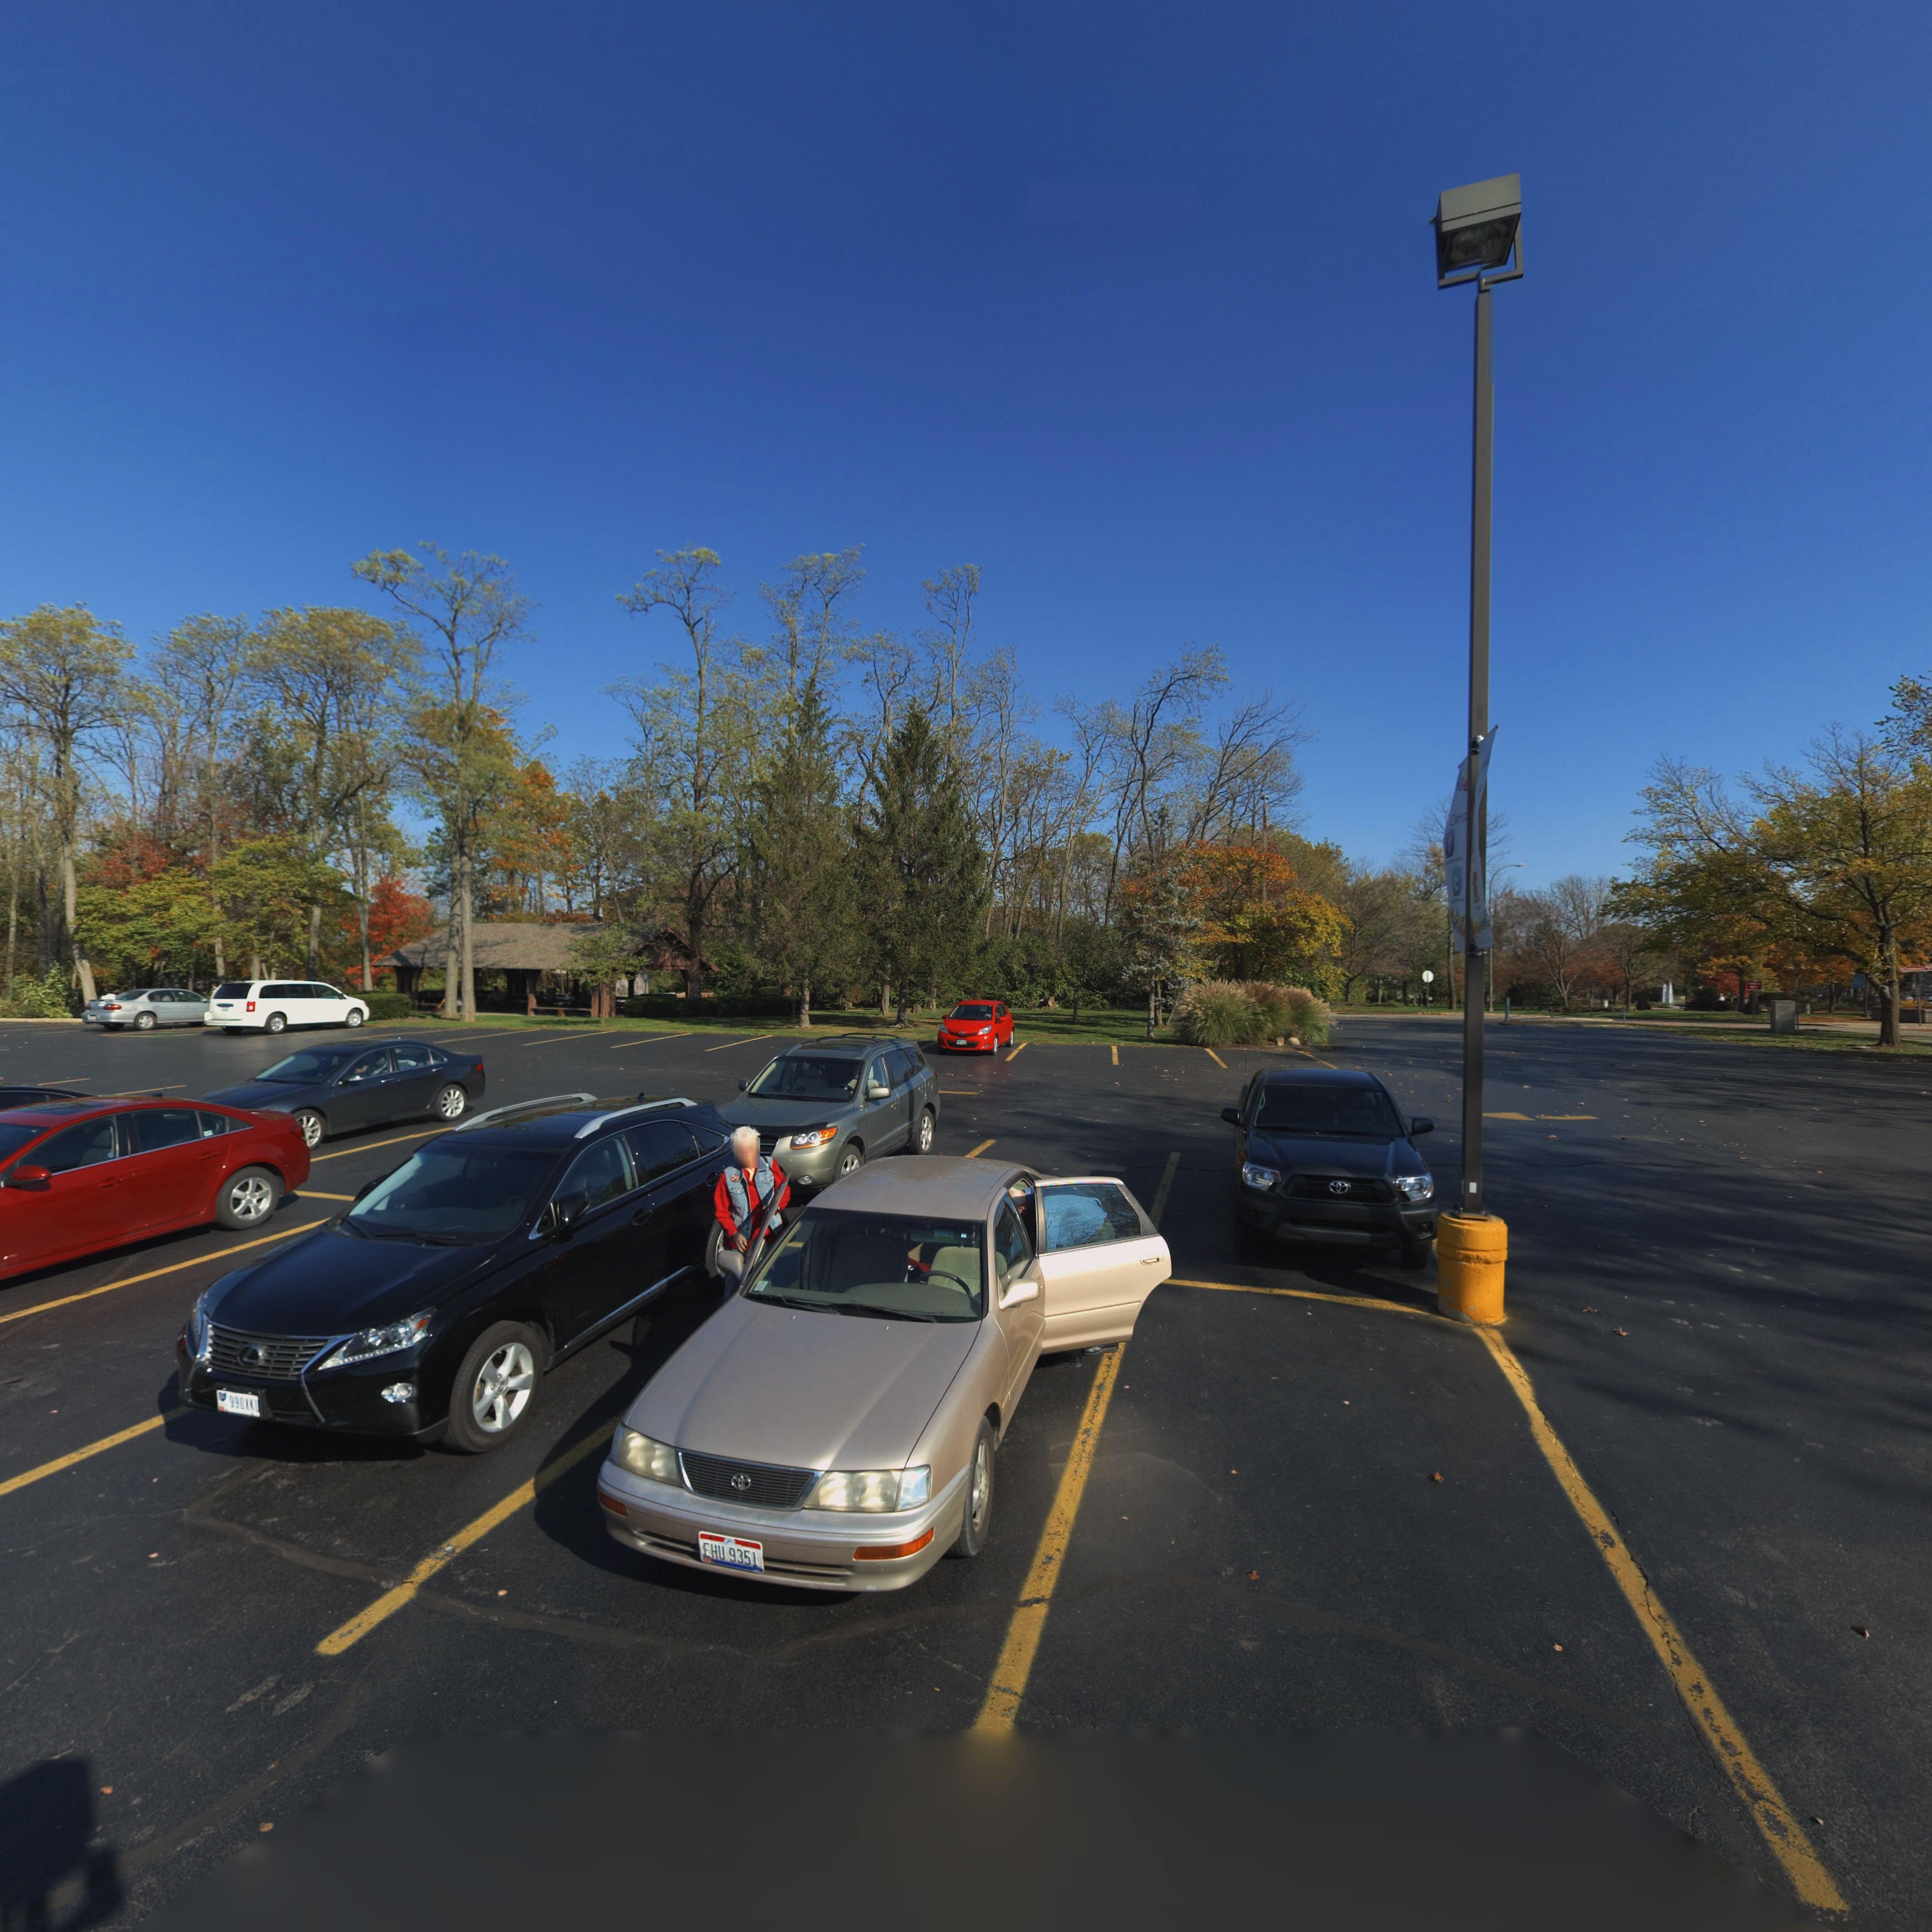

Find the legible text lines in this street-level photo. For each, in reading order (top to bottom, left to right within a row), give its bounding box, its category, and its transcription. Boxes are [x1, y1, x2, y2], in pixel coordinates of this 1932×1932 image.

[228, 1393, 256, 1414] None: 990XX
[702, 1539, 760, 1569] None: EHU 9351